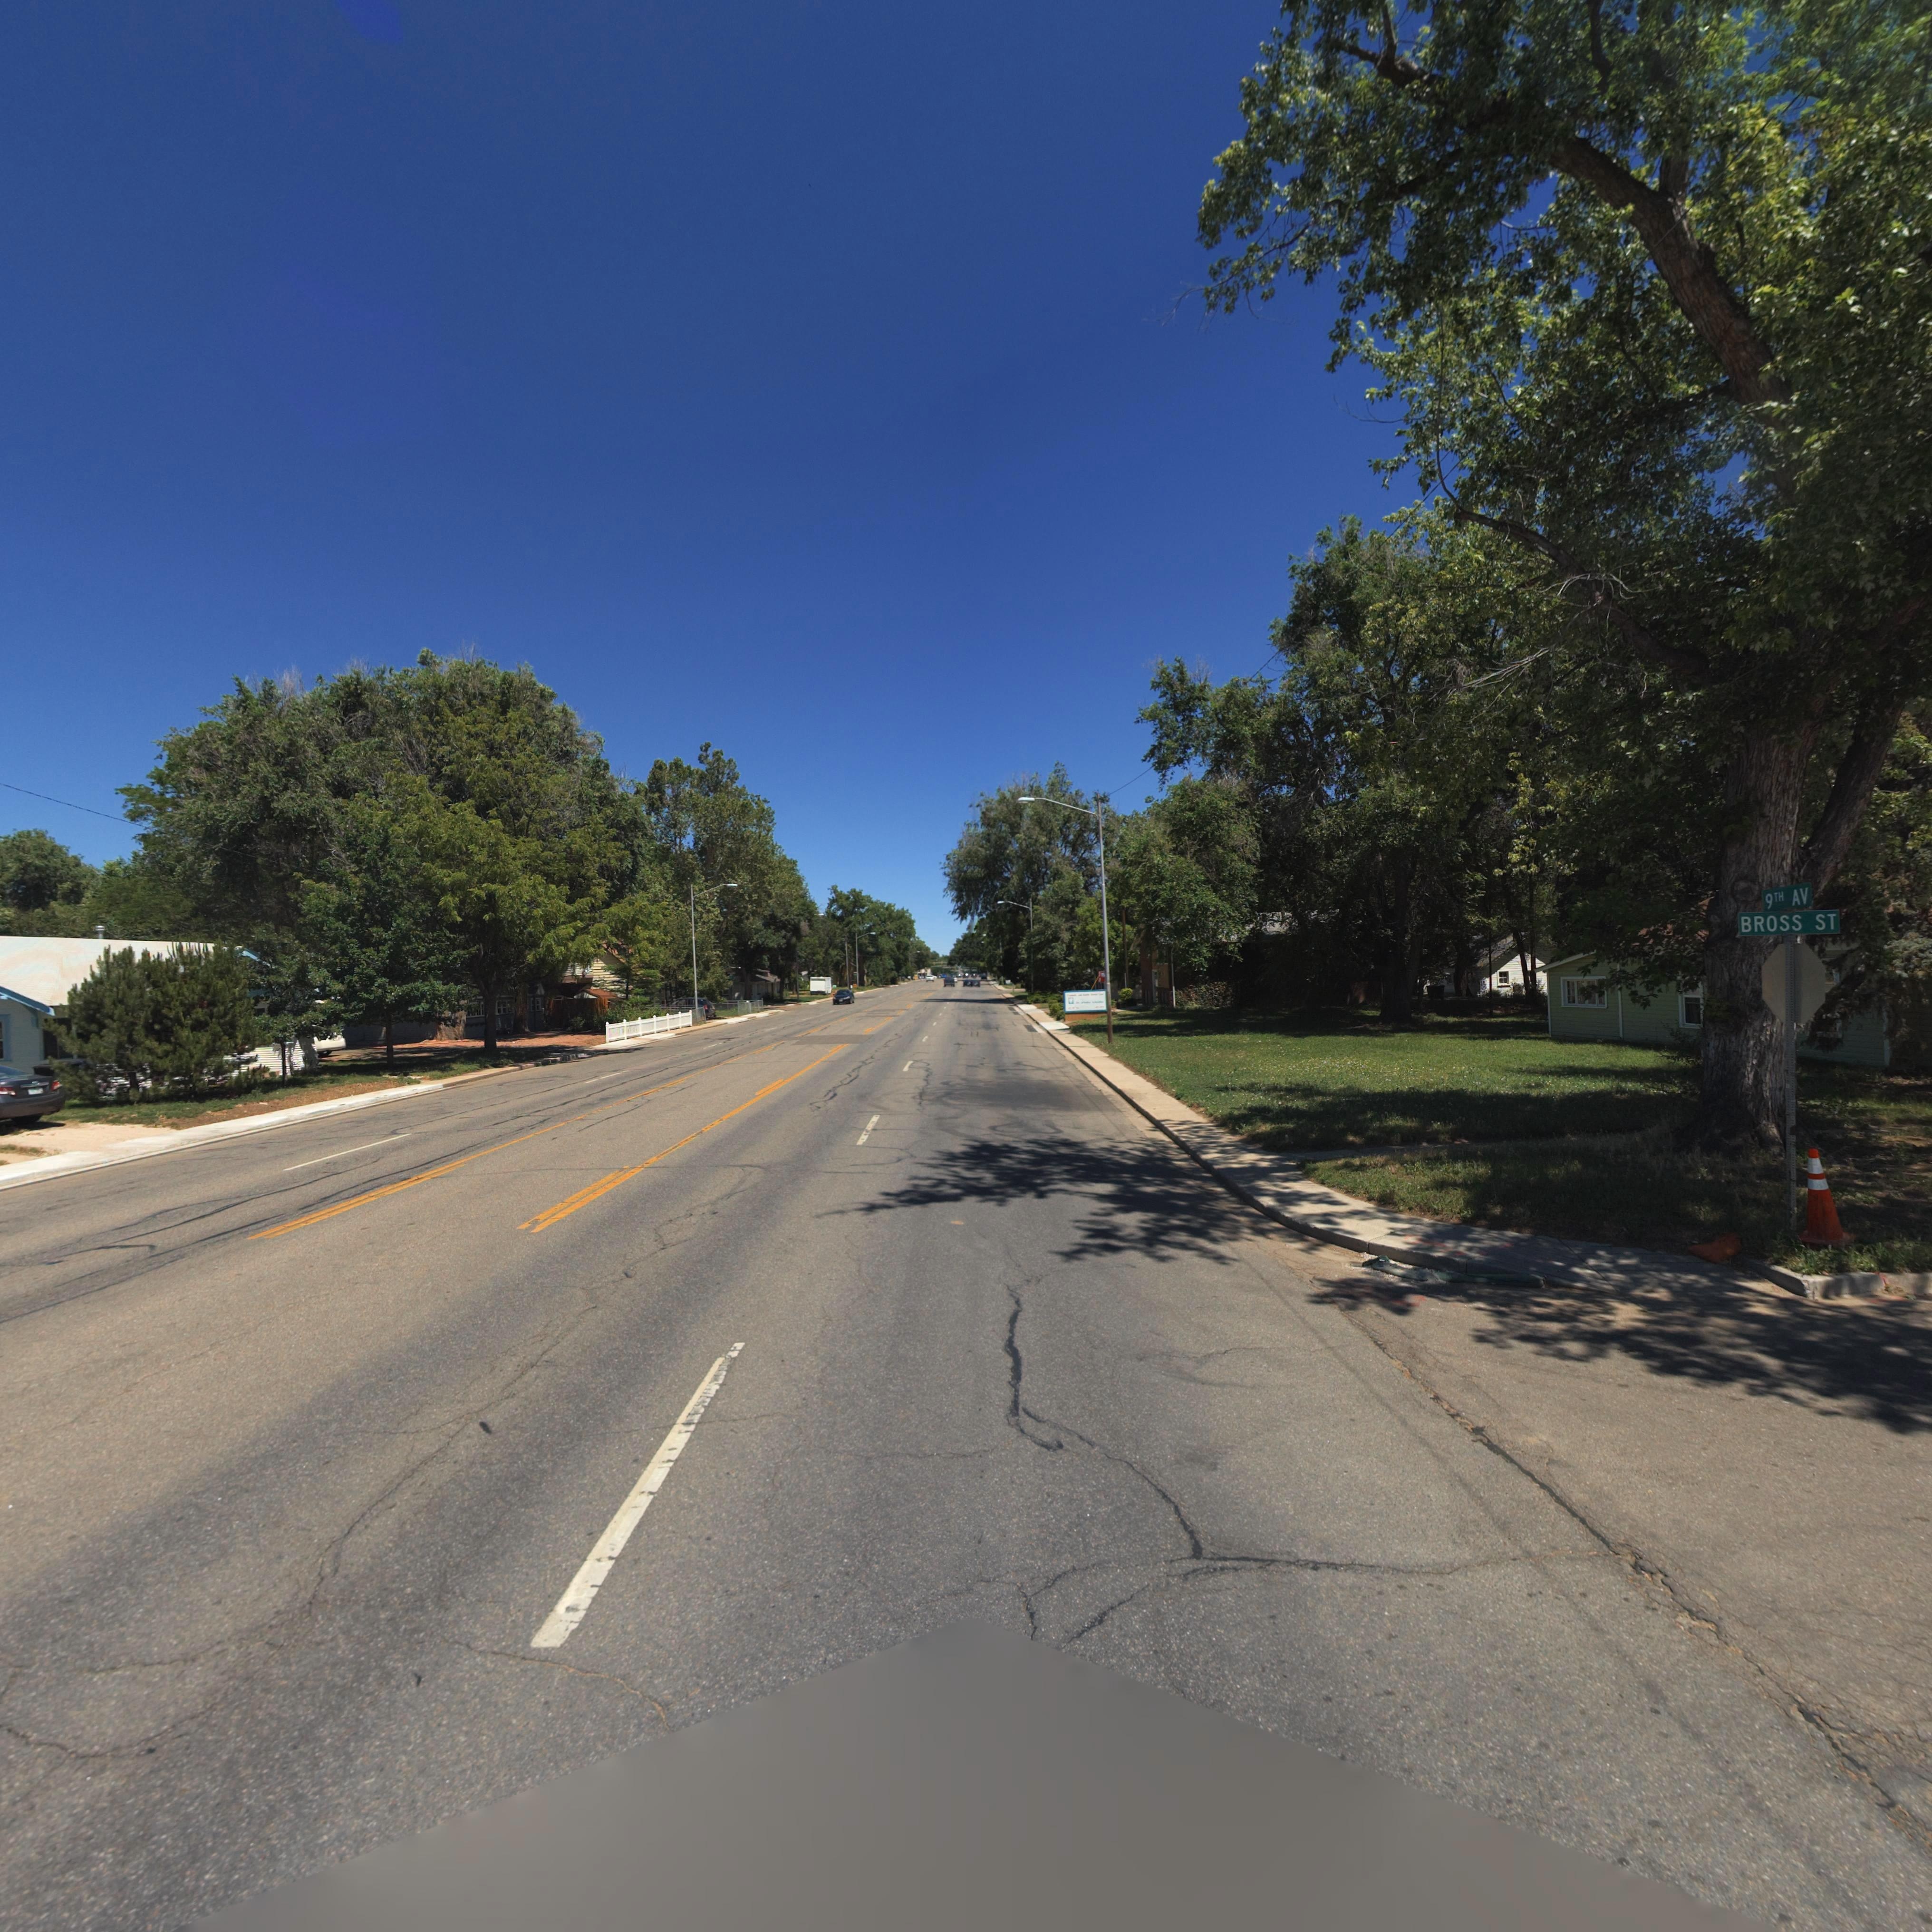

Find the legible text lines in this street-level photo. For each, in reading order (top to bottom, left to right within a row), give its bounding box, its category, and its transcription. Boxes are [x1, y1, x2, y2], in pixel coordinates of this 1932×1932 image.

[1765, 887, 1808, 909] StreetName: 9TH AV
[1740, 913, 1836, 932] StreetName: BROSS ST